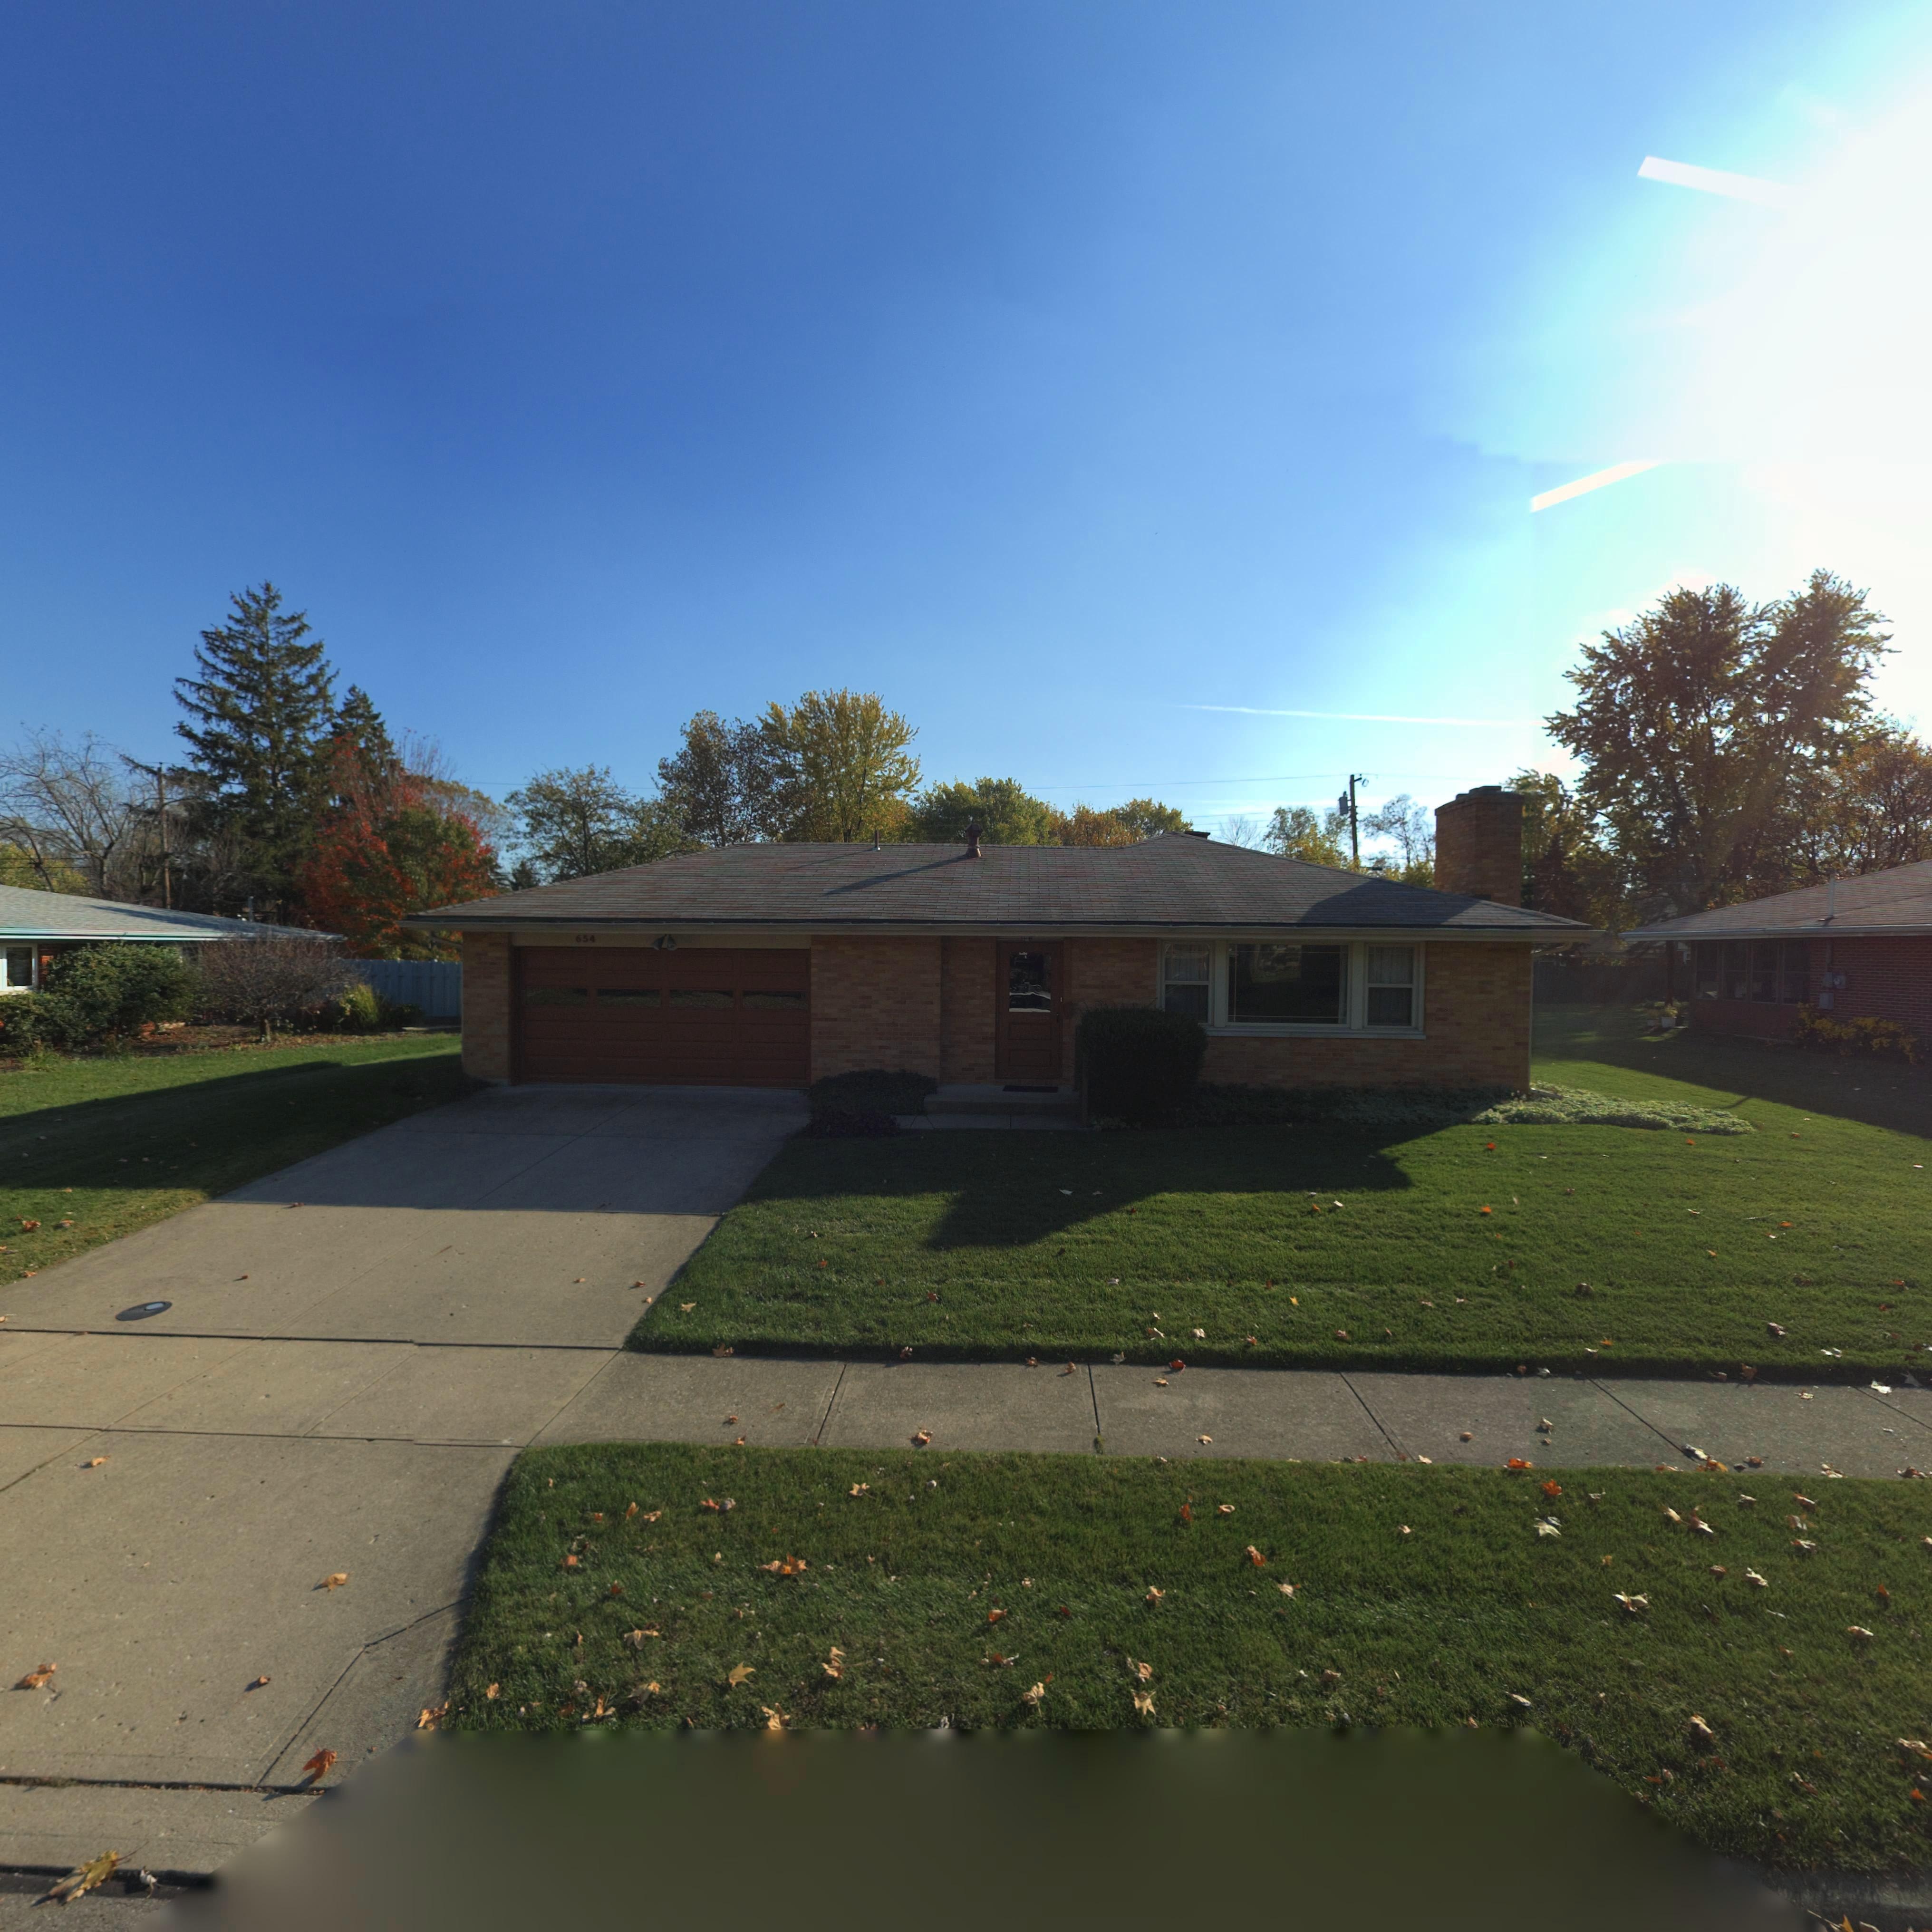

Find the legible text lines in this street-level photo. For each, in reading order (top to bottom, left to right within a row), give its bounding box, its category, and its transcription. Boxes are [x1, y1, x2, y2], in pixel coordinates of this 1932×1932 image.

[575, 933, 595, 943] StreetNumber: 654